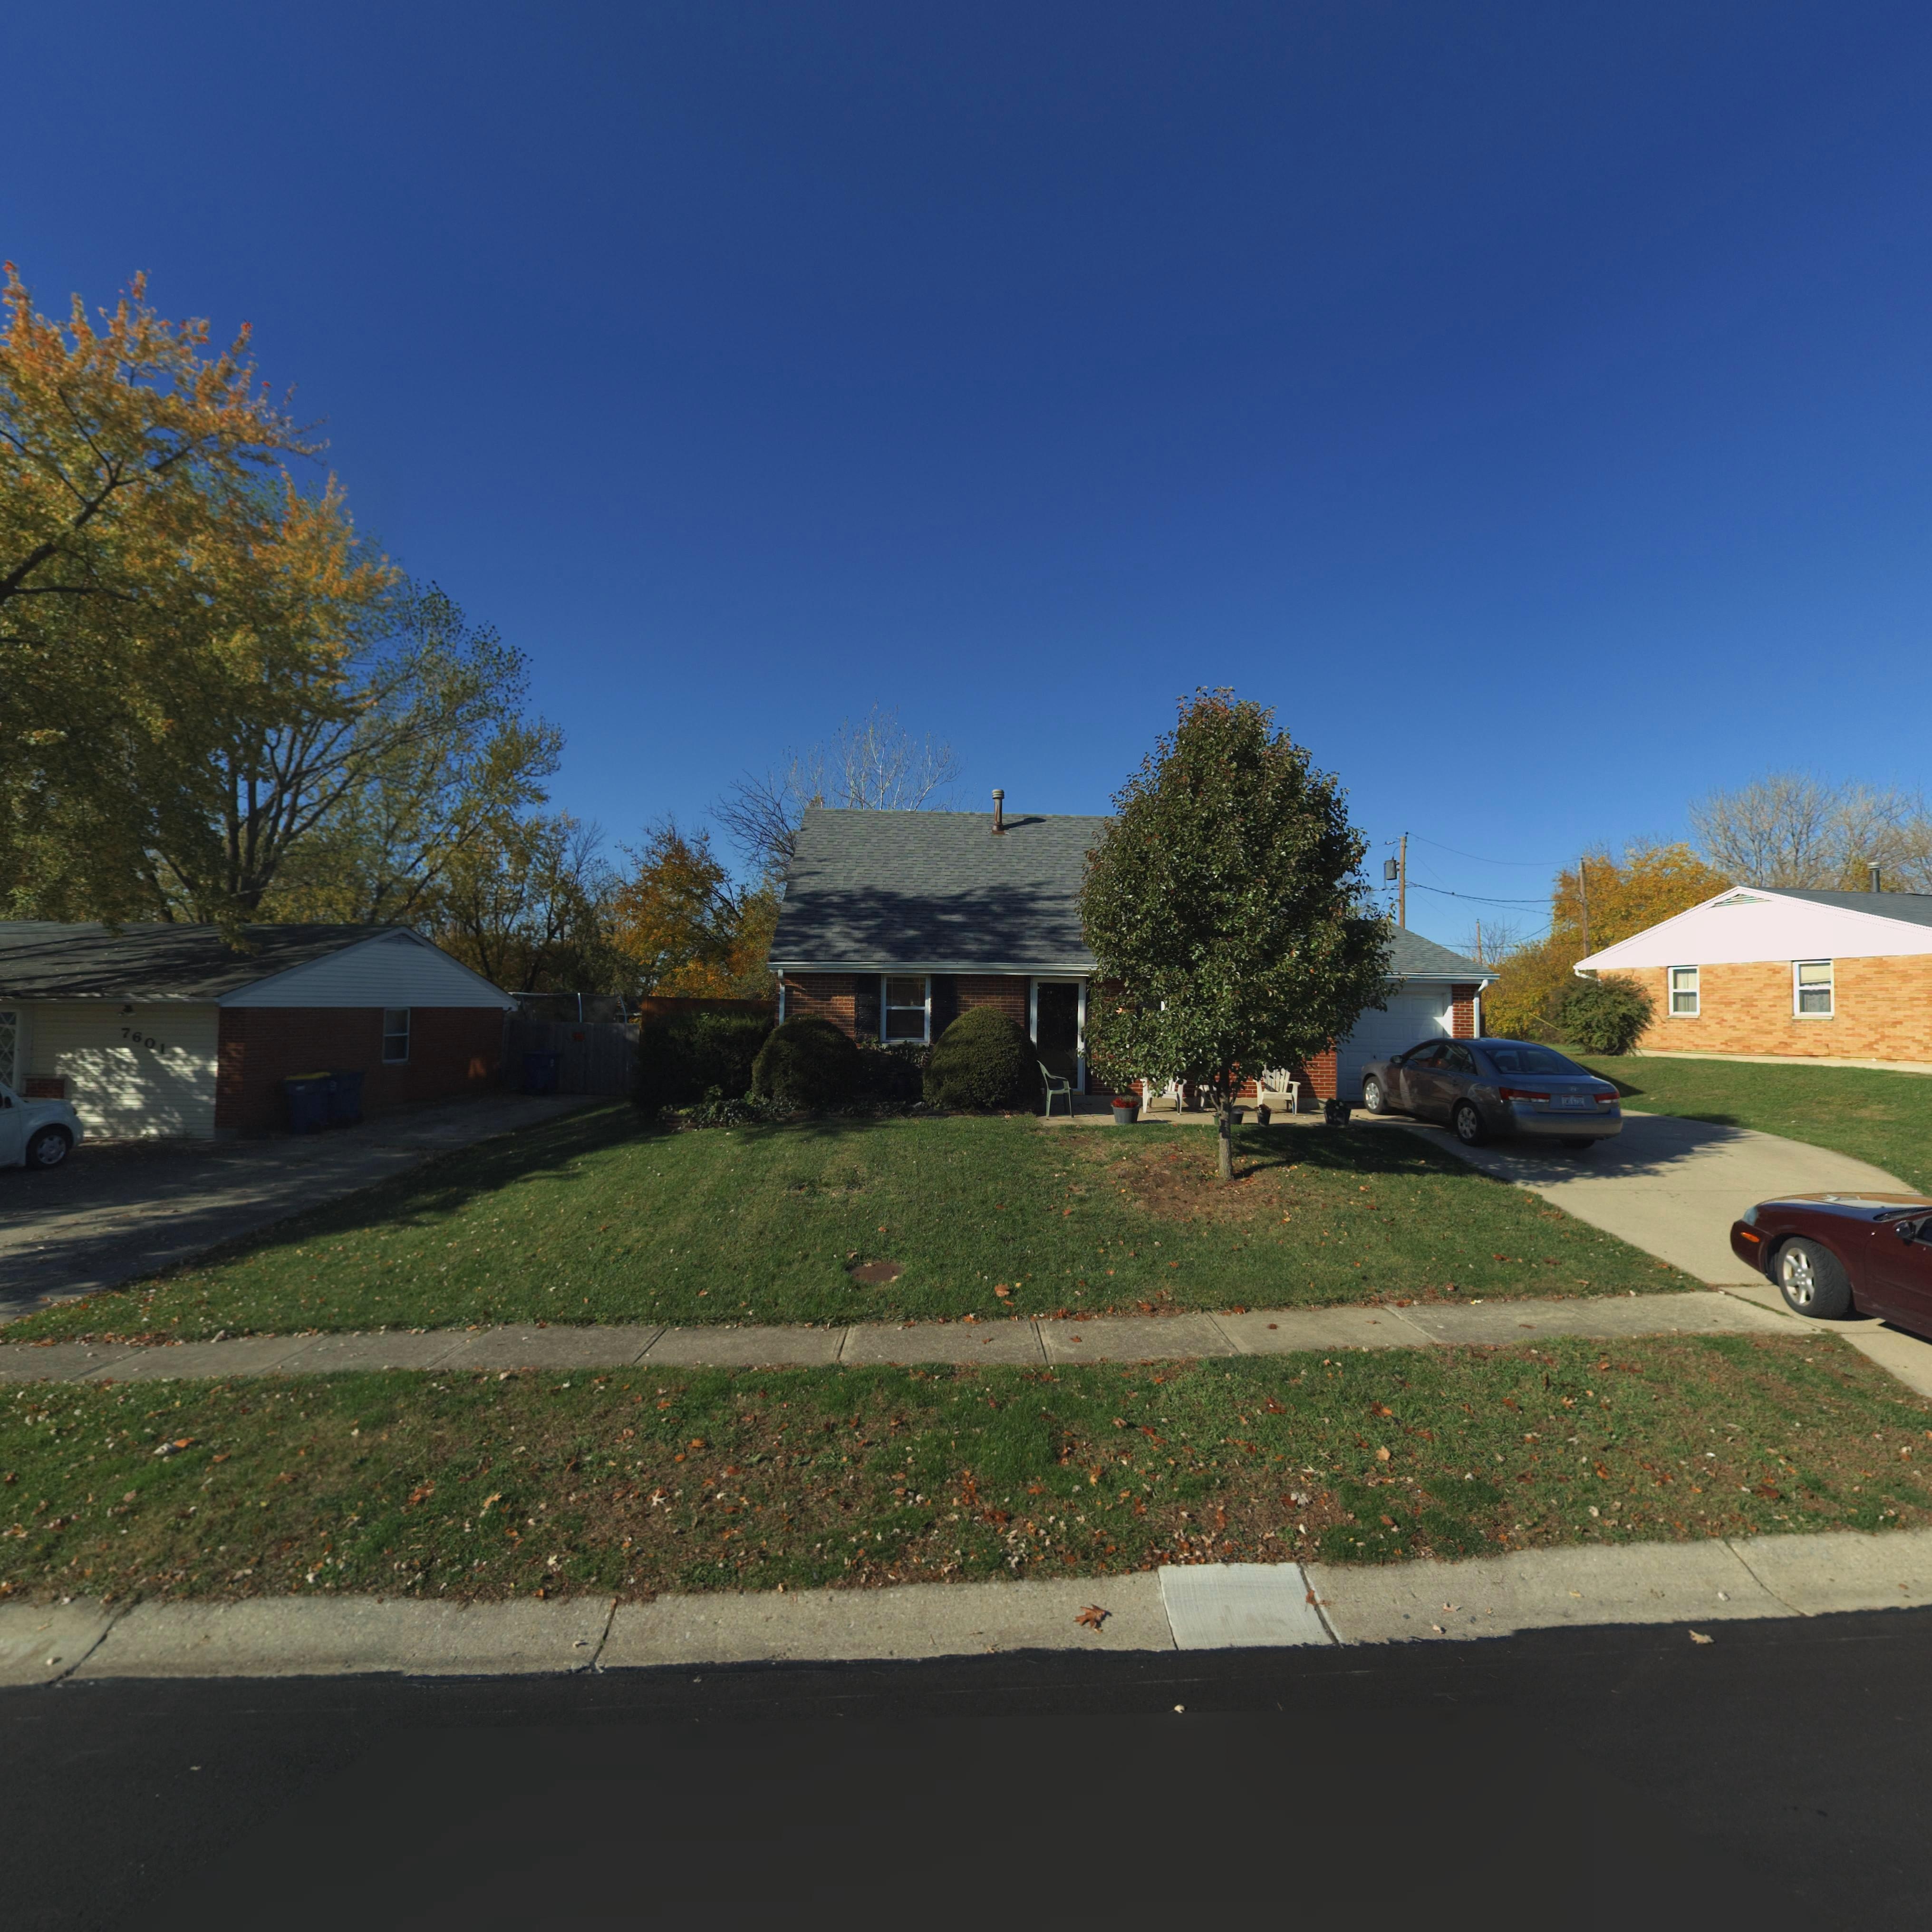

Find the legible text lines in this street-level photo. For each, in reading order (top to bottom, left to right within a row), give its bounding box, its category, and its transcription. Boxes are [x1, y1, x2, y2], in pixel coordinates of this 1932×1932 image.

[121, 1026, 166, 1055] StreetNumber: 7601